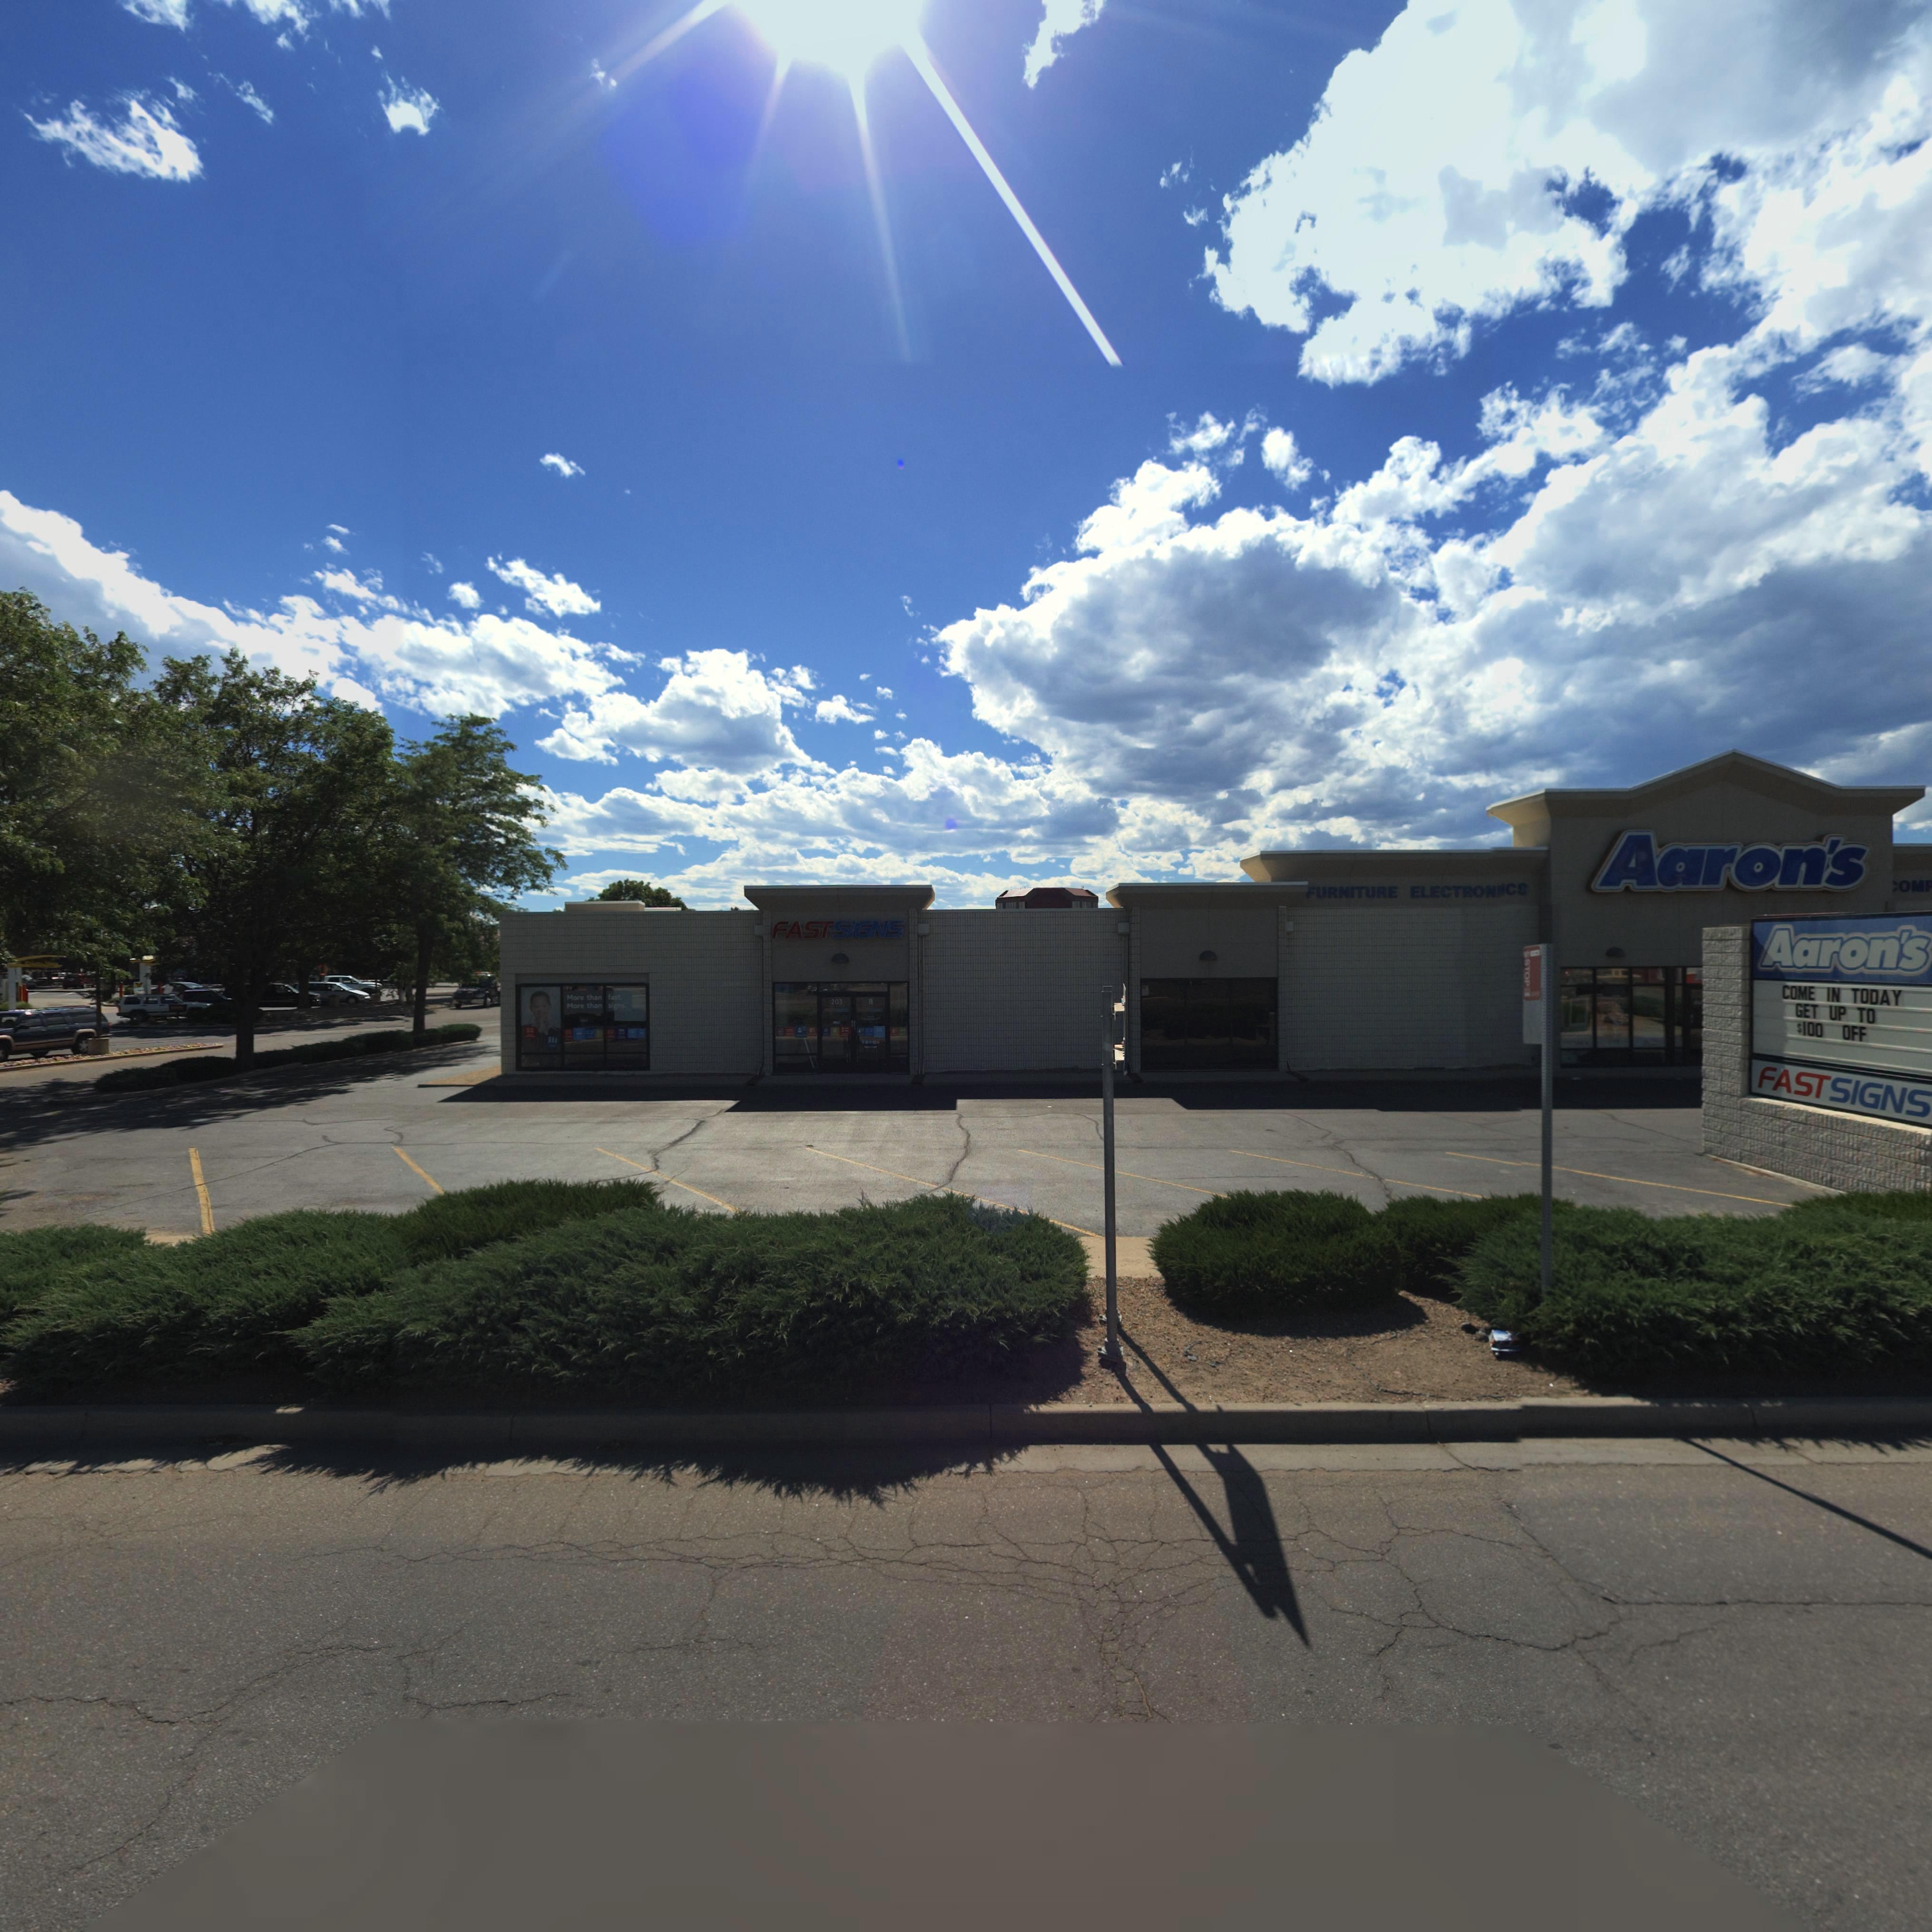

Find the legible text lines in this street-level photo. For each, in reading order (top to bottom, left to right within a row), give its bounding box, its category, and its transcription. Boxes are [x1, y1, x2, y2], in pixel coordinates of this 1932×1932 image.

[1595, 833, 1869, 888] BusinessName: Aaron's
[769, 919, 906, 939] BusinessName: FASTSIGNS
[1758, 926, 1932, 973] BusinessName: Aaron's
[831, 998, 842, 1005] StreetNumber: 203
[869, 998, 873, 1005] StreetNumber: B
[1756, 1064, 1931, 1119] BusinessName: FASTSIGNS